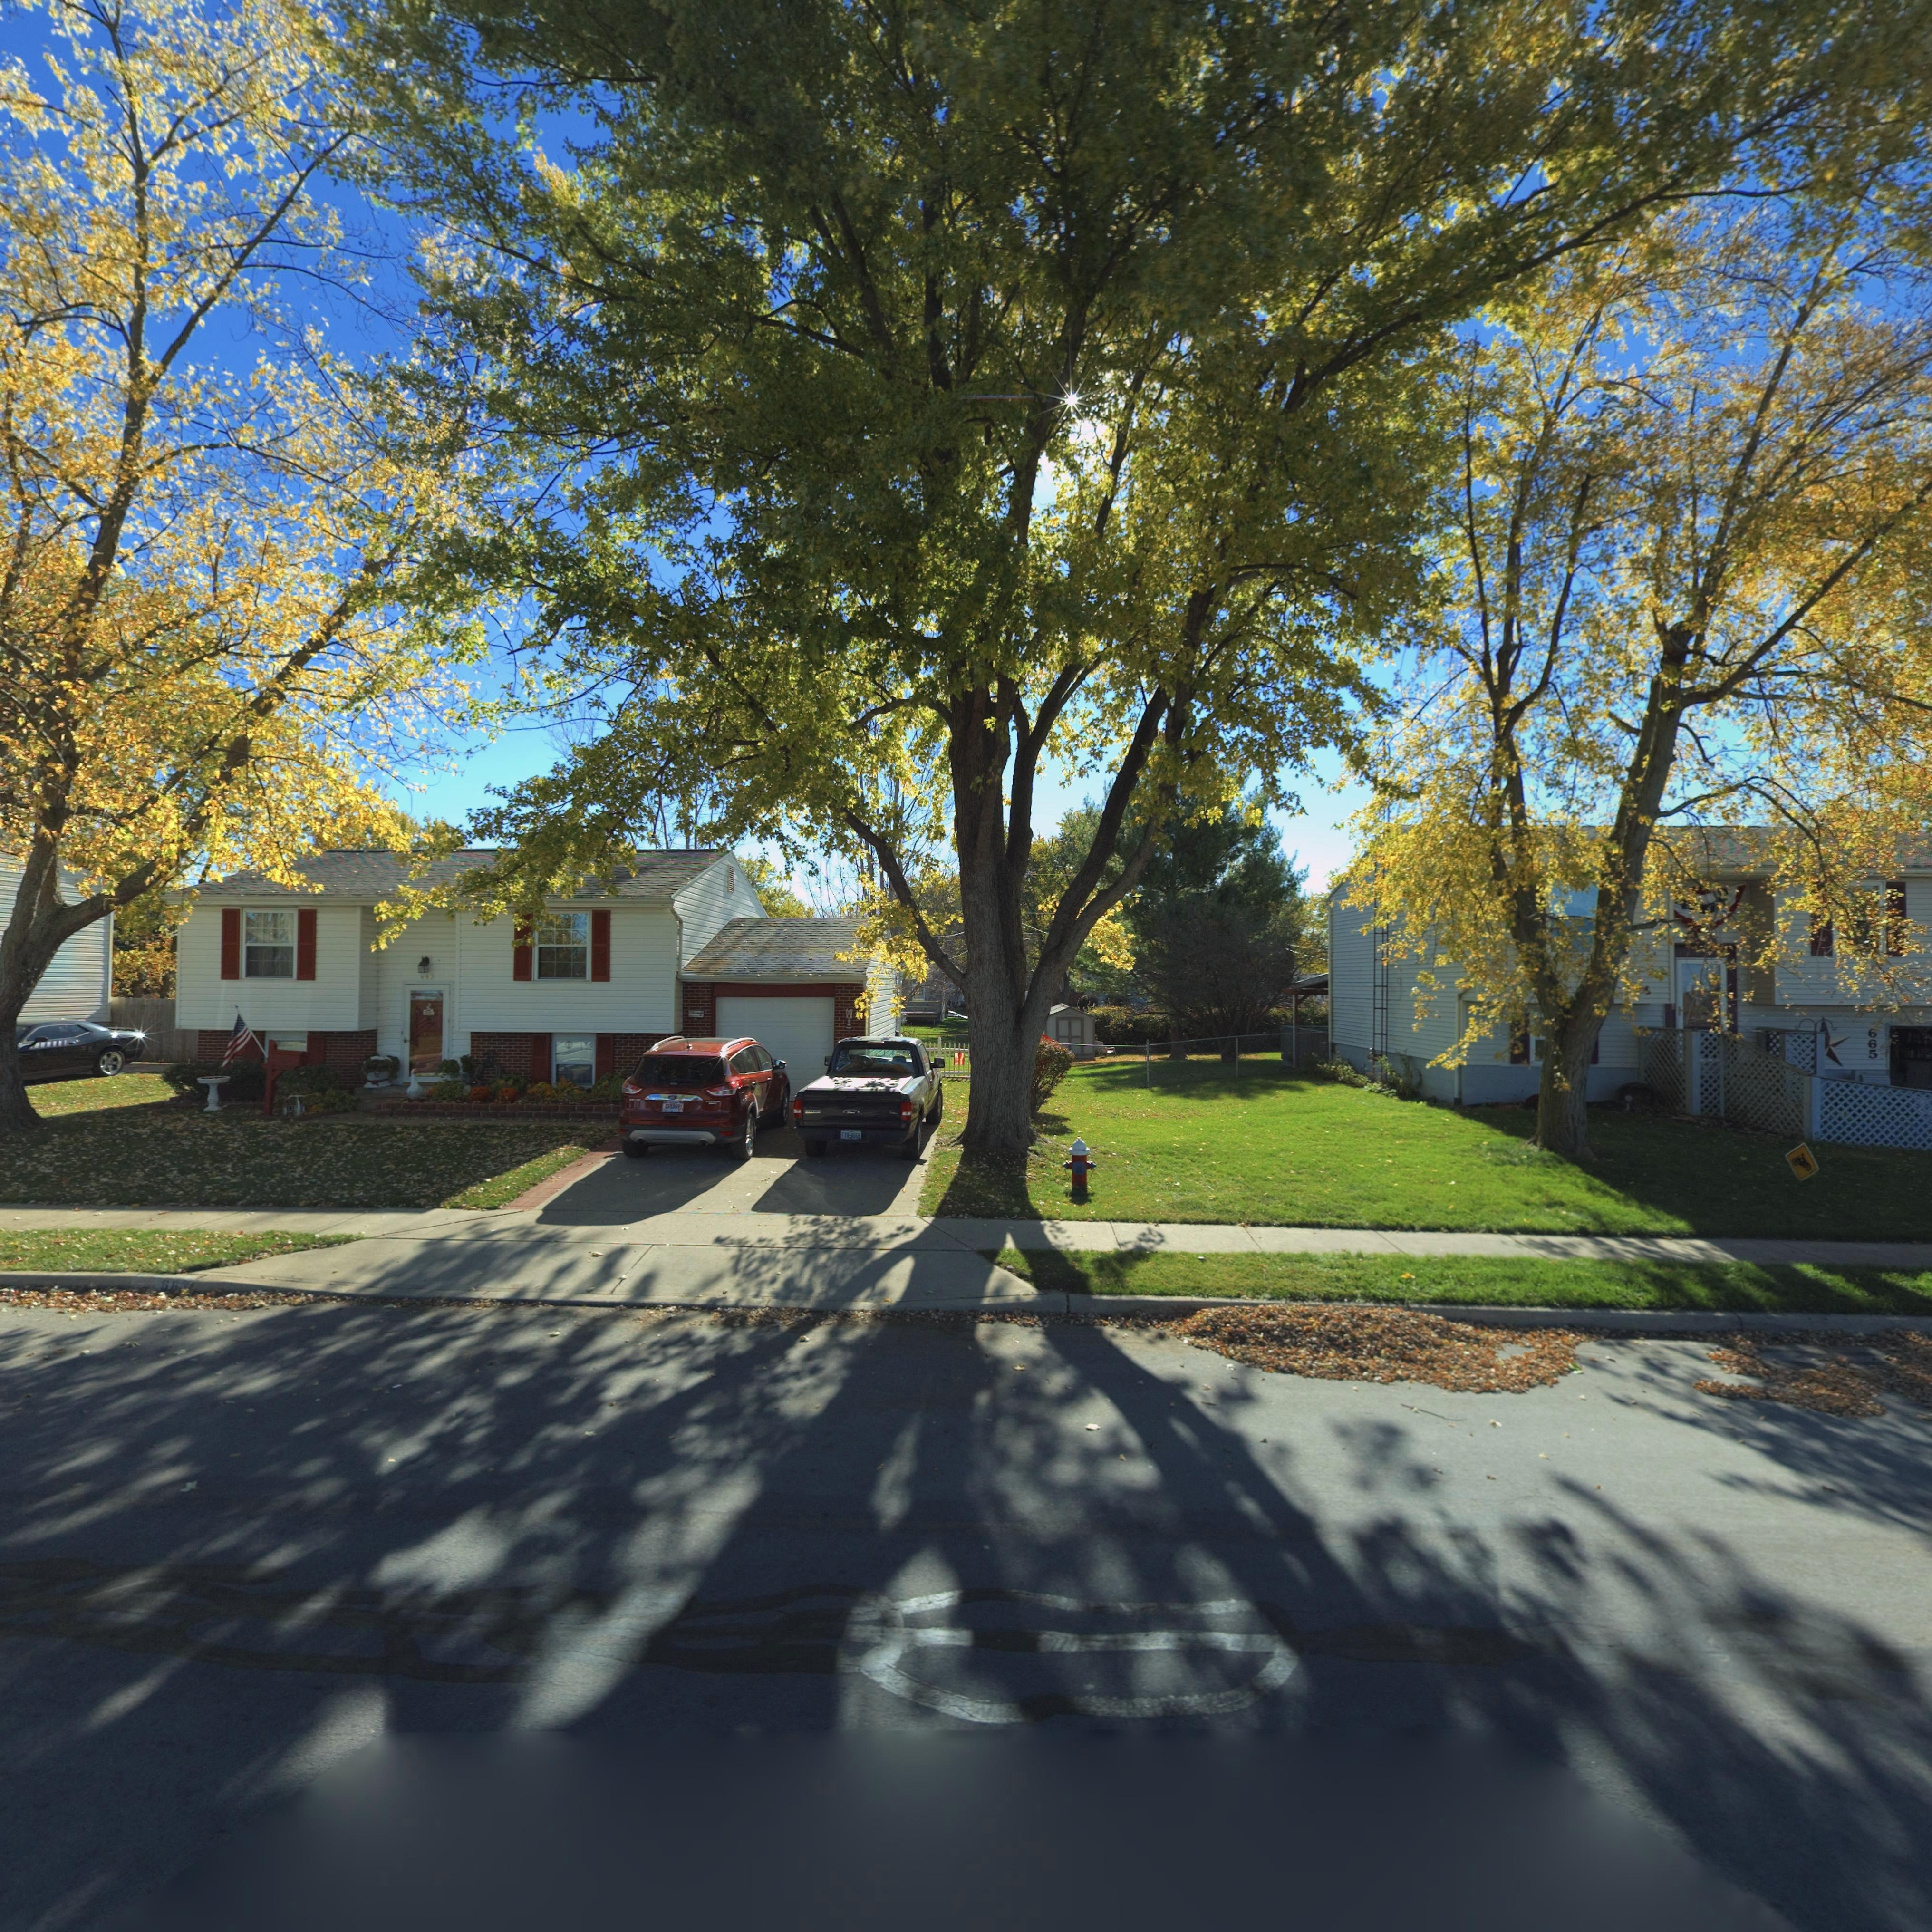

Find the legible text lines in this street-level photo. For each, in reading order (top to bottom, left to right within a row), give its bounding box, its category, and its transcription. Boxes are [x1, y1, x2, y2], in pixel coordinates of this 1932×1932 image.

[419, 974, 435, 980] StreetNumber: *63
[1867, 1028, 1878, 1059] StreetNumber: 665
[159, 1278, 180, 1292] StreetNumber: 66